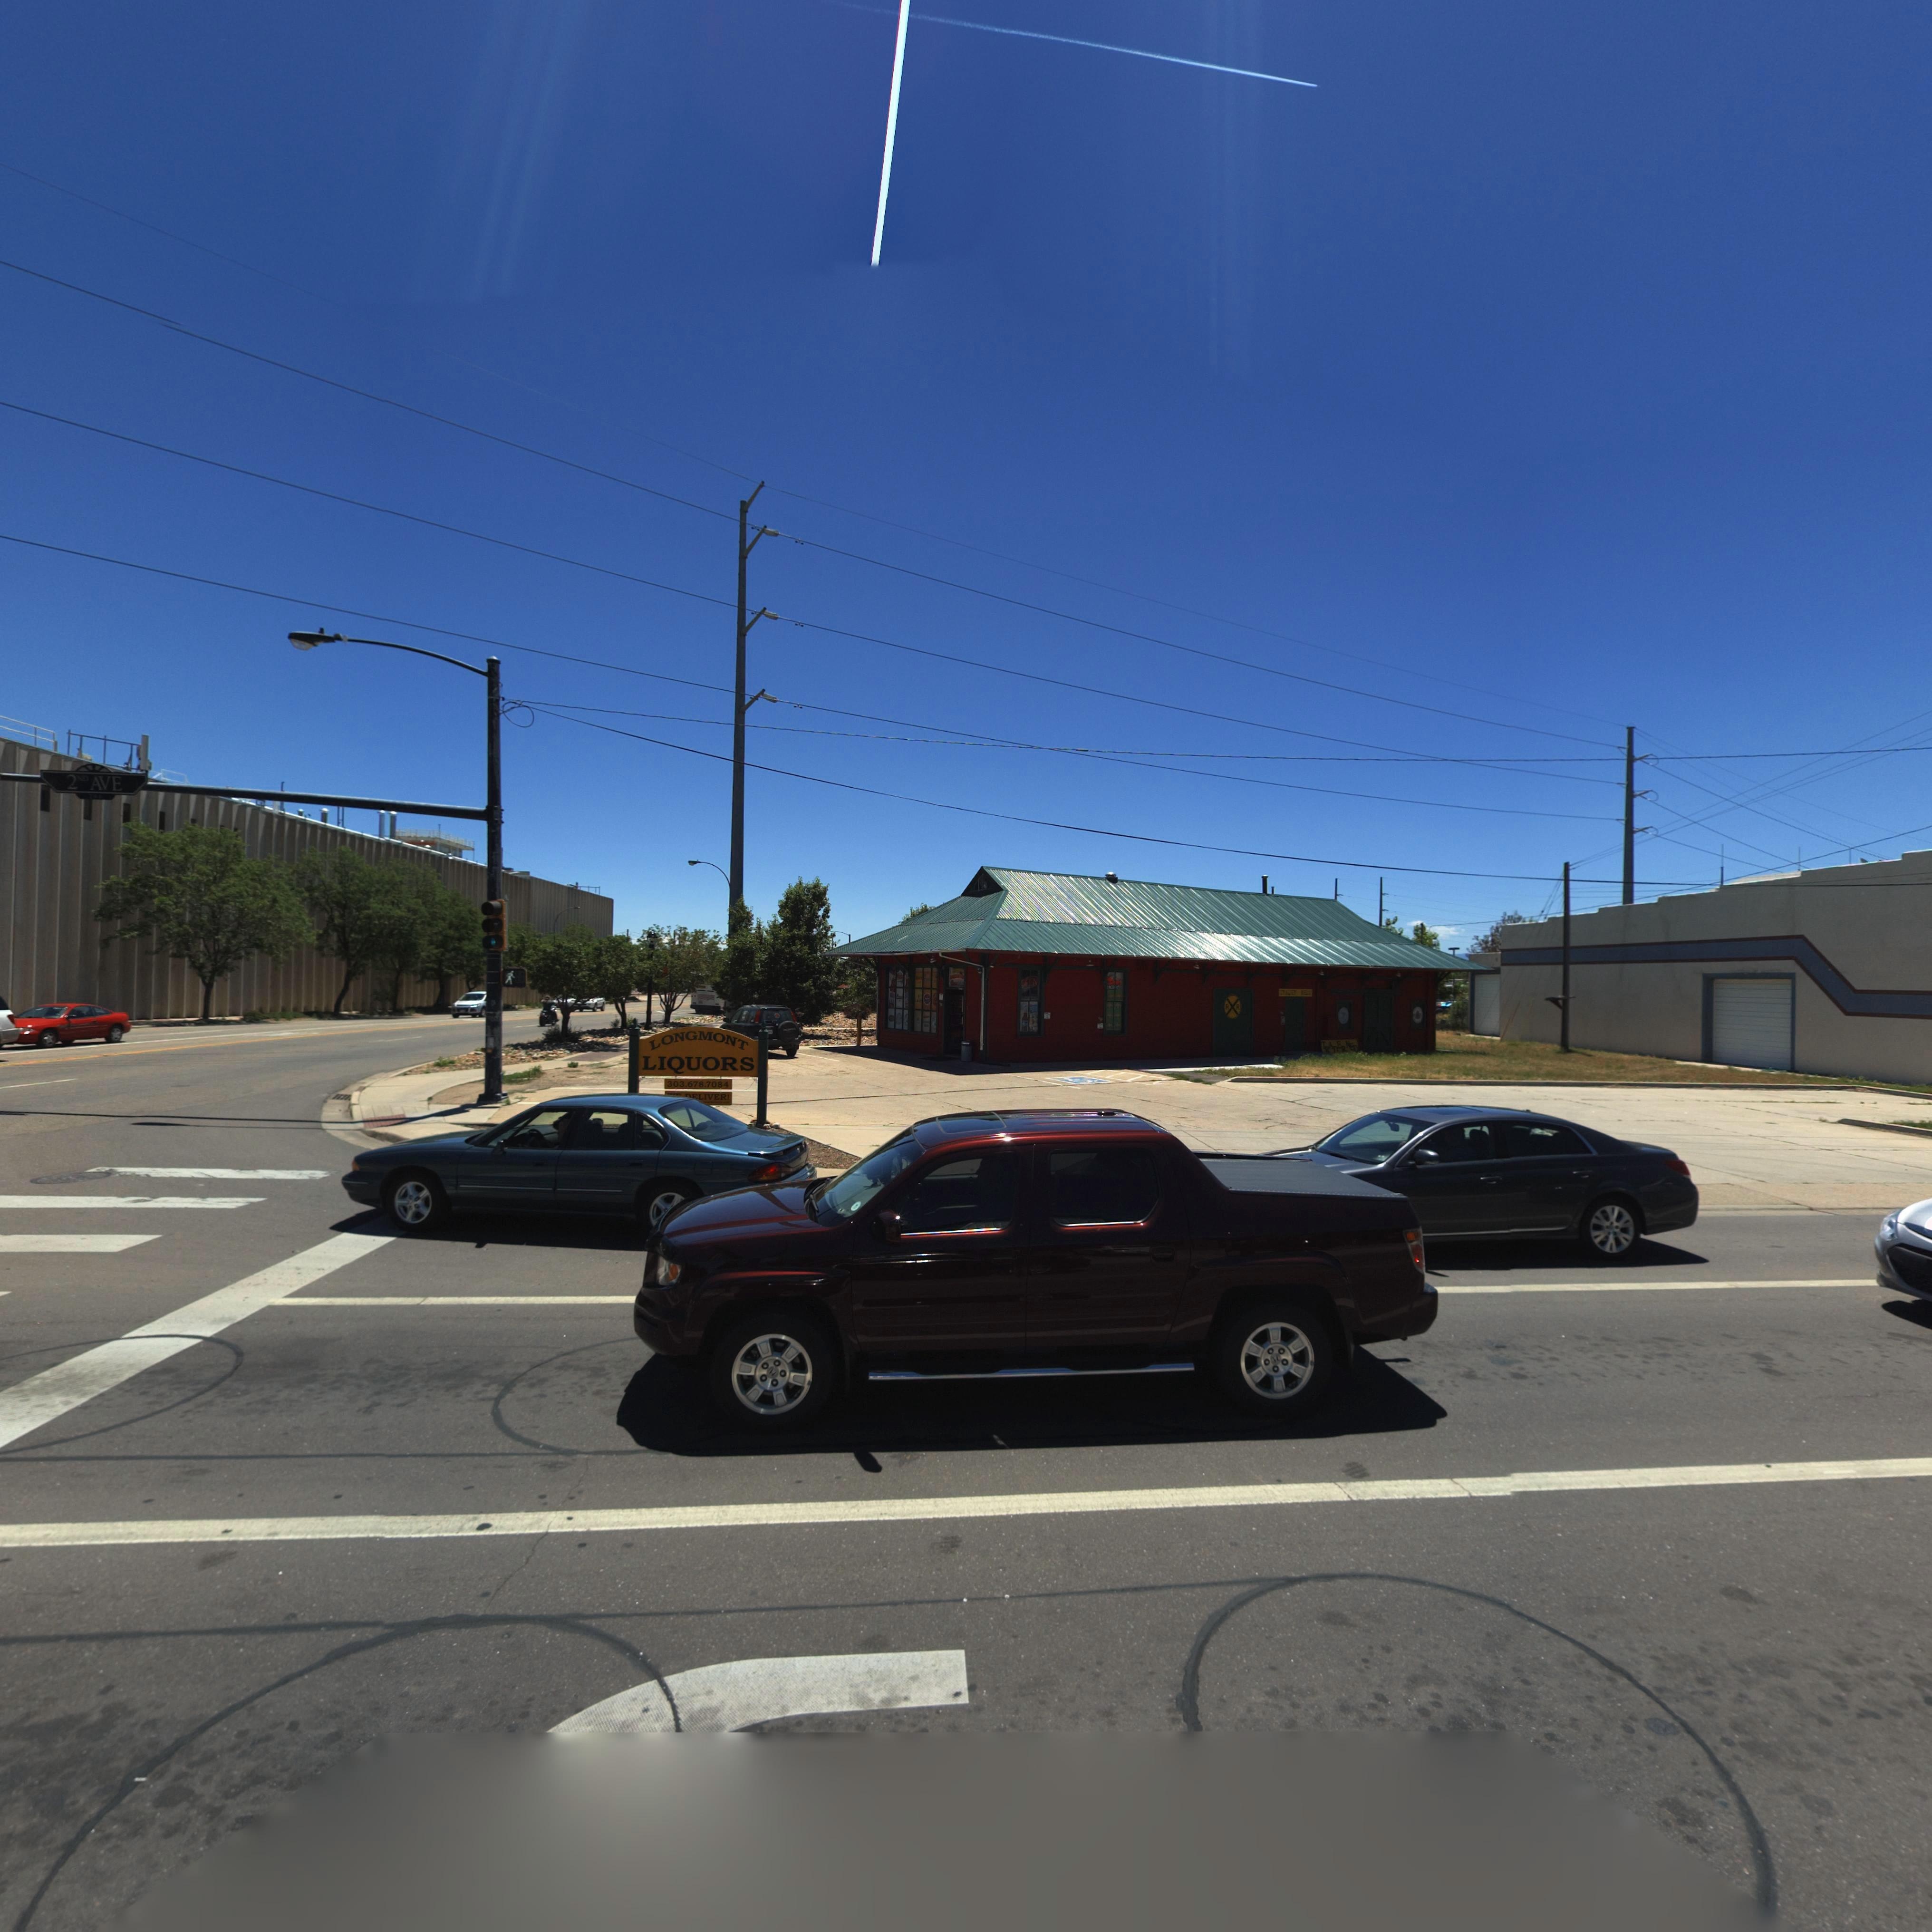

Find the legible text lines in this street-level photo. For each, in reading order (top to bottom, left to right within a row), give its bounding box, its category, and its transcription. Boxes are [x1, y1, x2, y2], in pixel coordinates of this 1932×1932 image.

[67, 773, 123, 792] StreetName: 2ND AVE
[1279, 989, 1312, 995] BusinessName: TRADE* *E**
[648, 1030, 749, 1051] BusinessName: LONGMONT
[1320, 1040, 1359, 1053] BusinessName: TRADER NED
[642, 1055, 754, 1074] BusinessName: LIQUORS